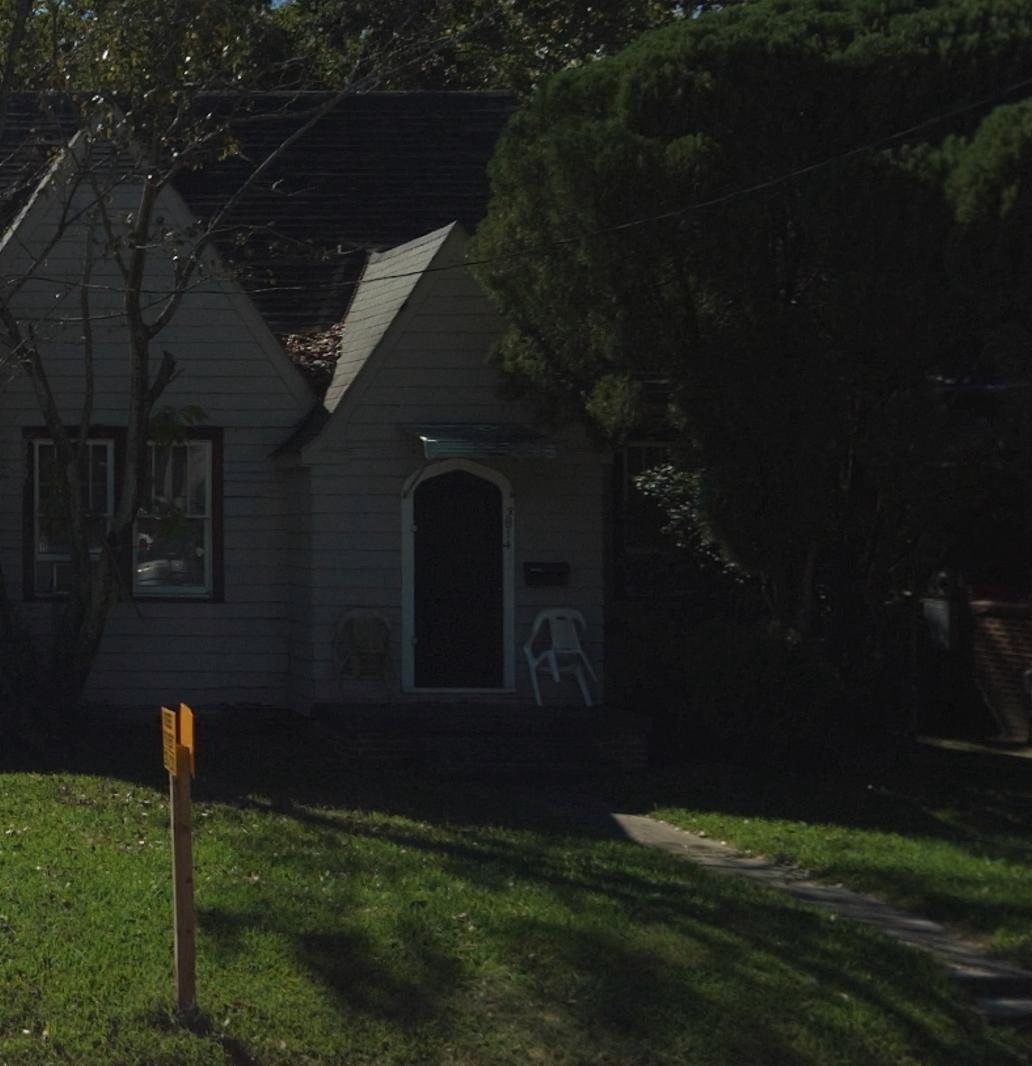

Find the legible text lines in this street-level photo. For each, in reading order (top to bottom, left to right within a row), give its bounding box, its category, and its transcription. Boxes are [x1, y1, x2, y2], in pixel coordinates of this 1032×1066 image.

[502, 505, 514, 551] StreetNumber: 9814